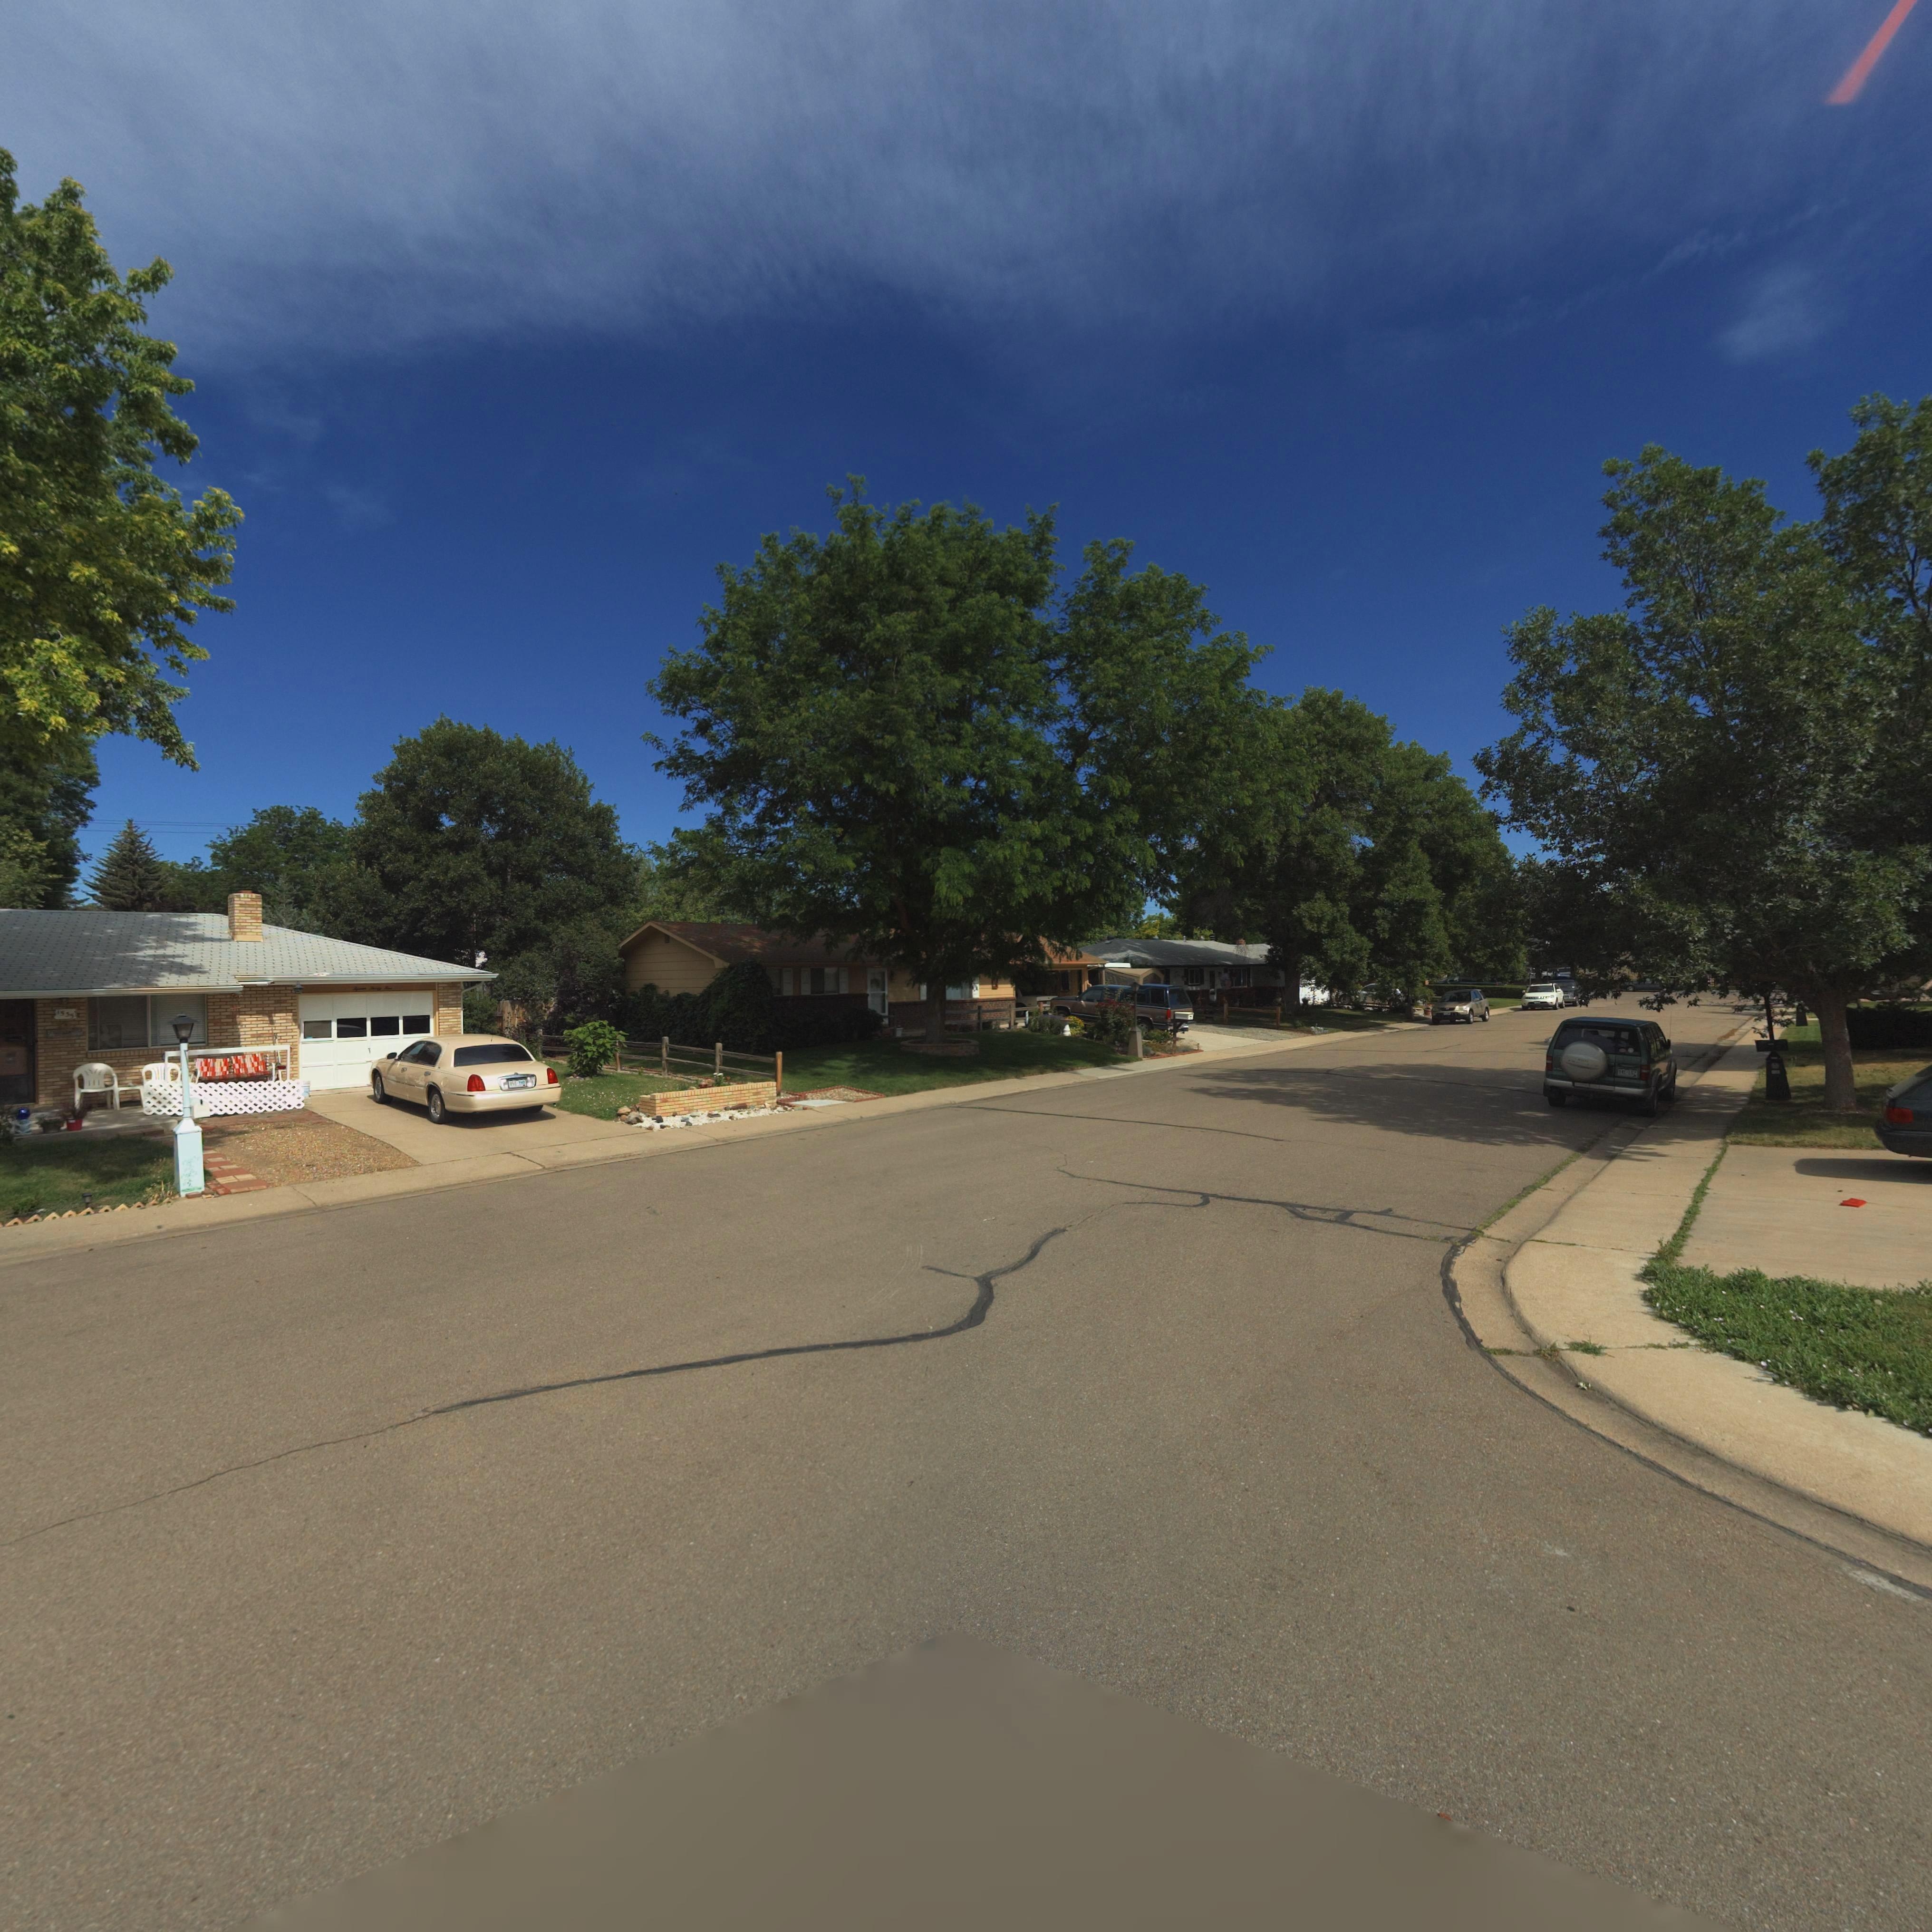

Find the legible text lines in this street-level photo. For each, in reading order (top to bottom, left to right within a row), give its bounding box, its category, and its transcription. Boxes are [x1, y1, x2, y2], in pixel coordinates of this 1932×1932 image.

[56, 1009, 75, 1019] StreetNumber: 153*